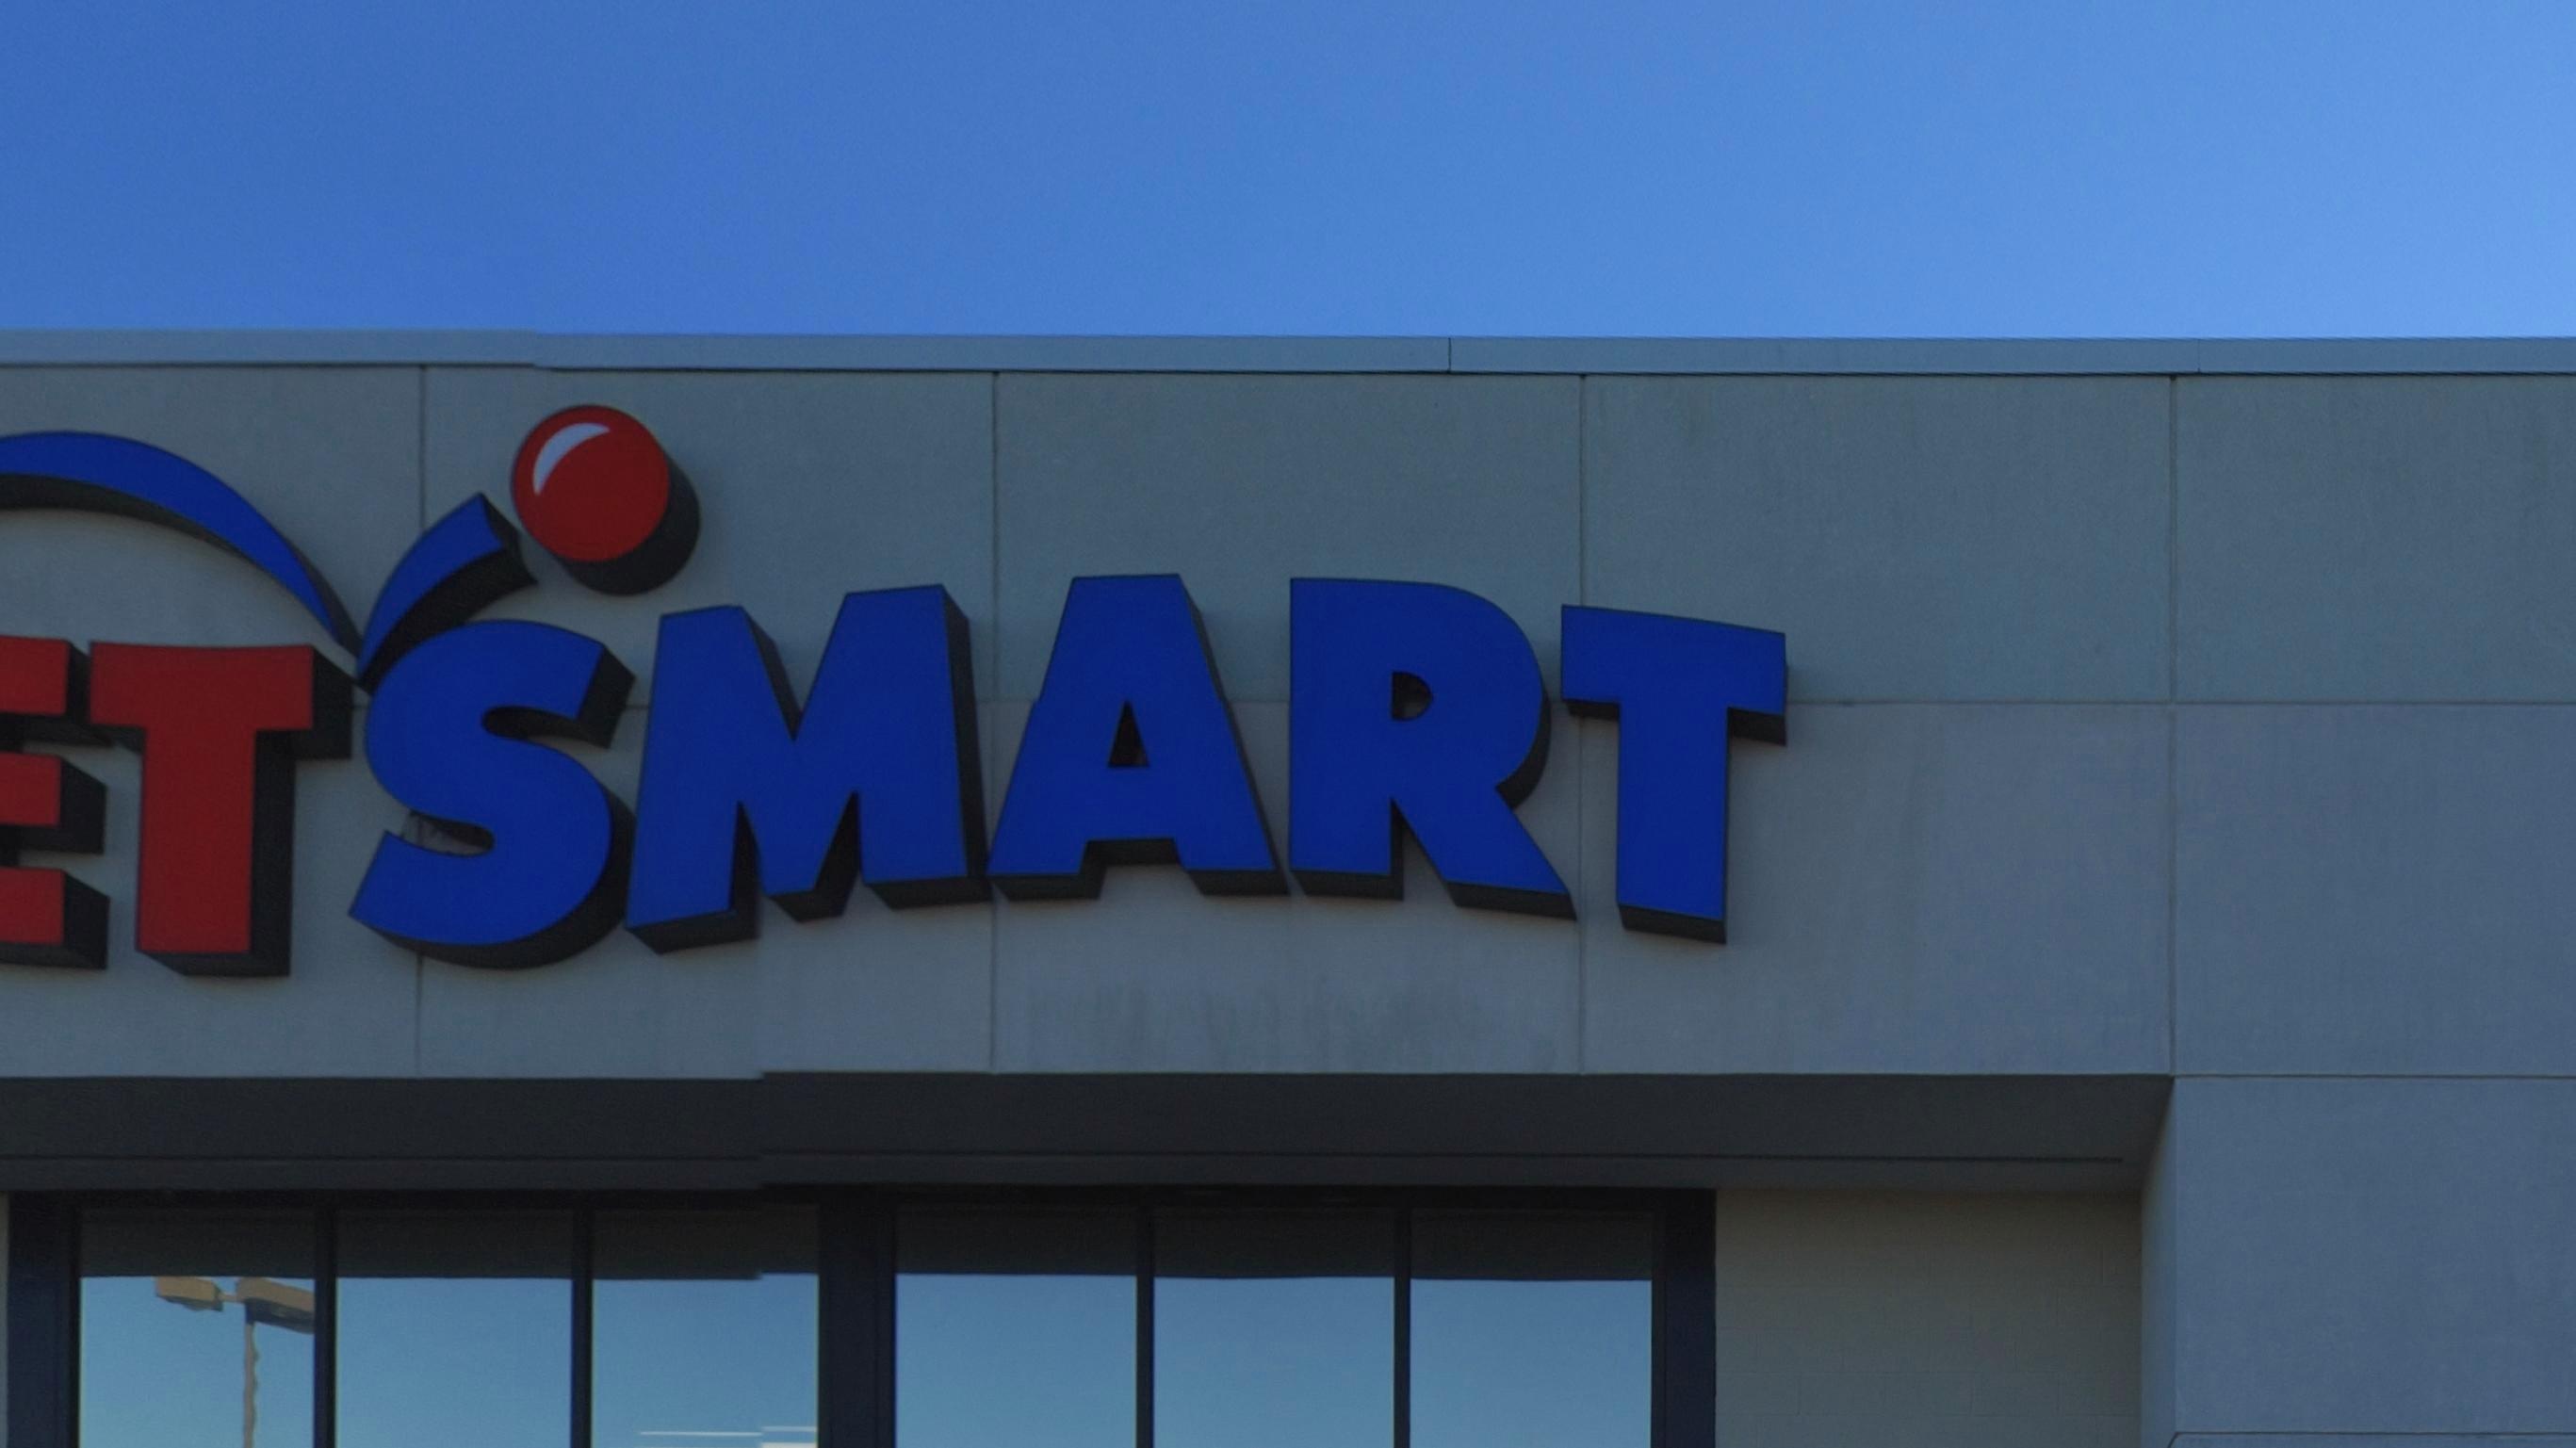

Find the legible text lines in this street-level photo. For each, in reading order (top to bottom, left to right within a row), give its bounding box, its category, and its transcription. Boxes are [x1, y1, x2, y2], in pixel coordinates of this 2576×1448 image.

[79, 566, 1795, 959] BusinessName: TSMART